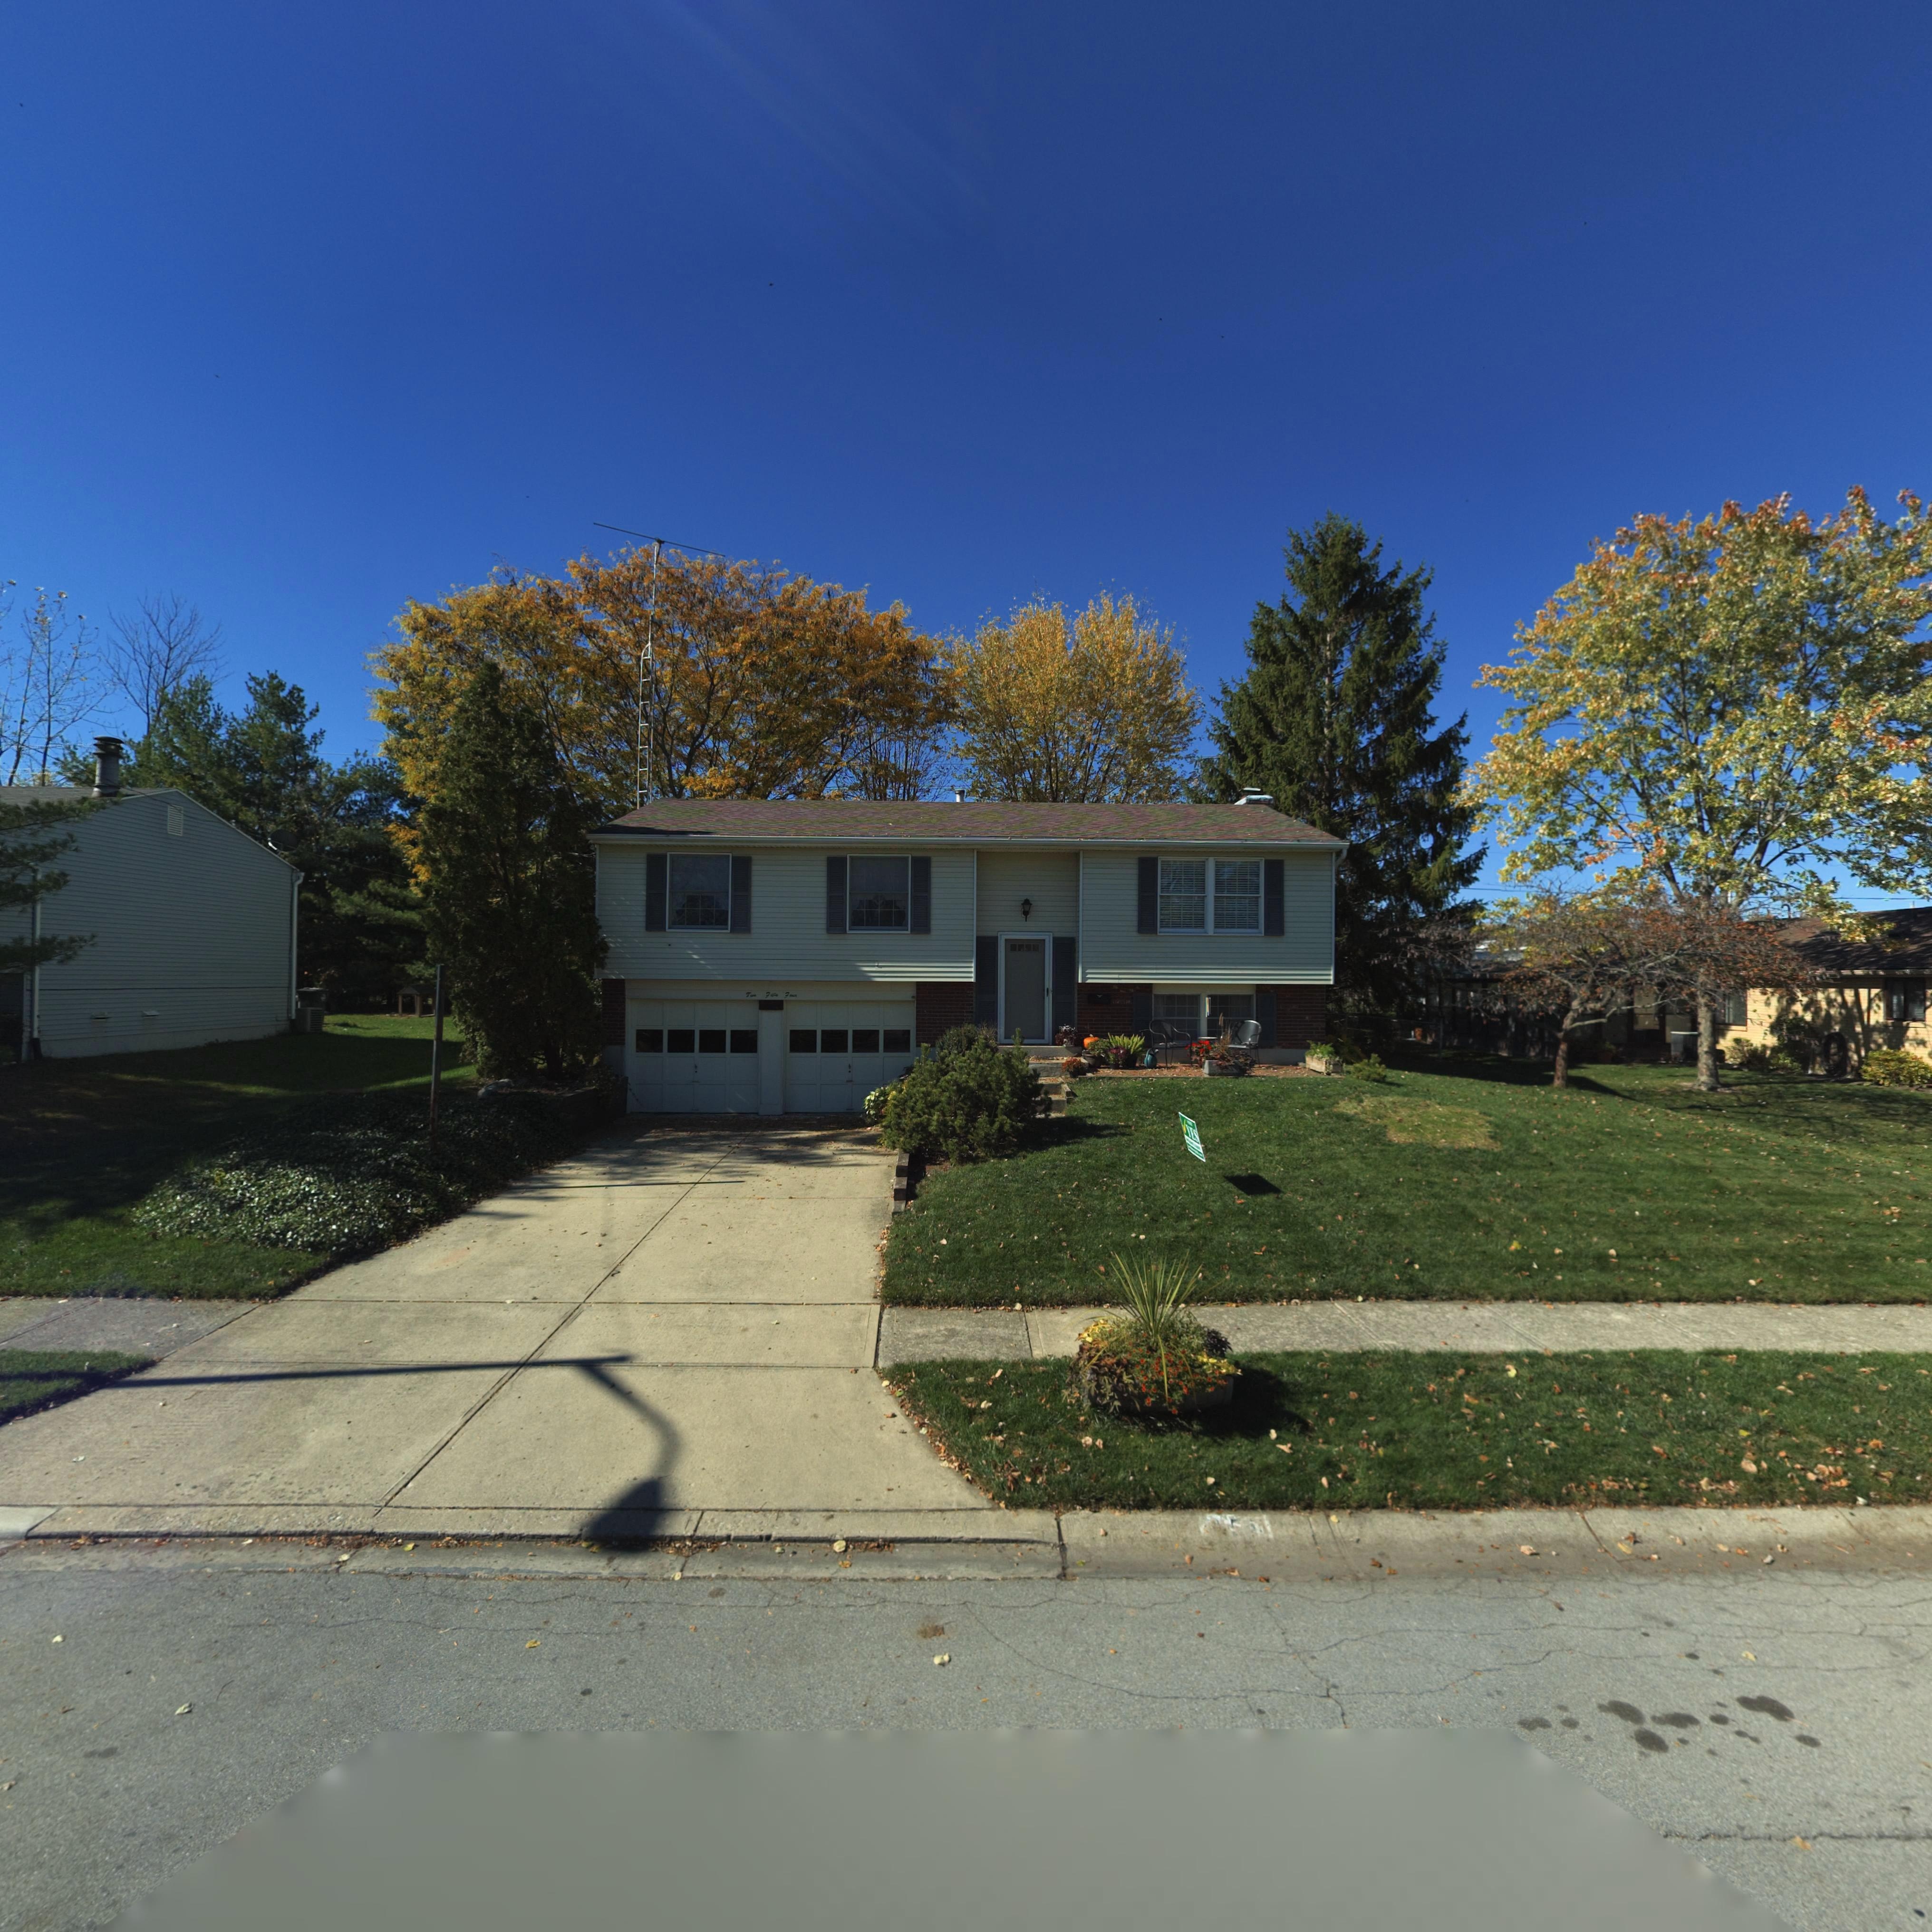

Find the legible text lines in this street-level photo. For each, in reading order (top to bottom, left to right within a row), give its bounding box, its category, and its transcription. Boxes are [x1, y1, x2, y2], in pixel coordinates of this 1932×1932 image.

[744, 990, 799, 999] StreetNumber: Two F**** F***